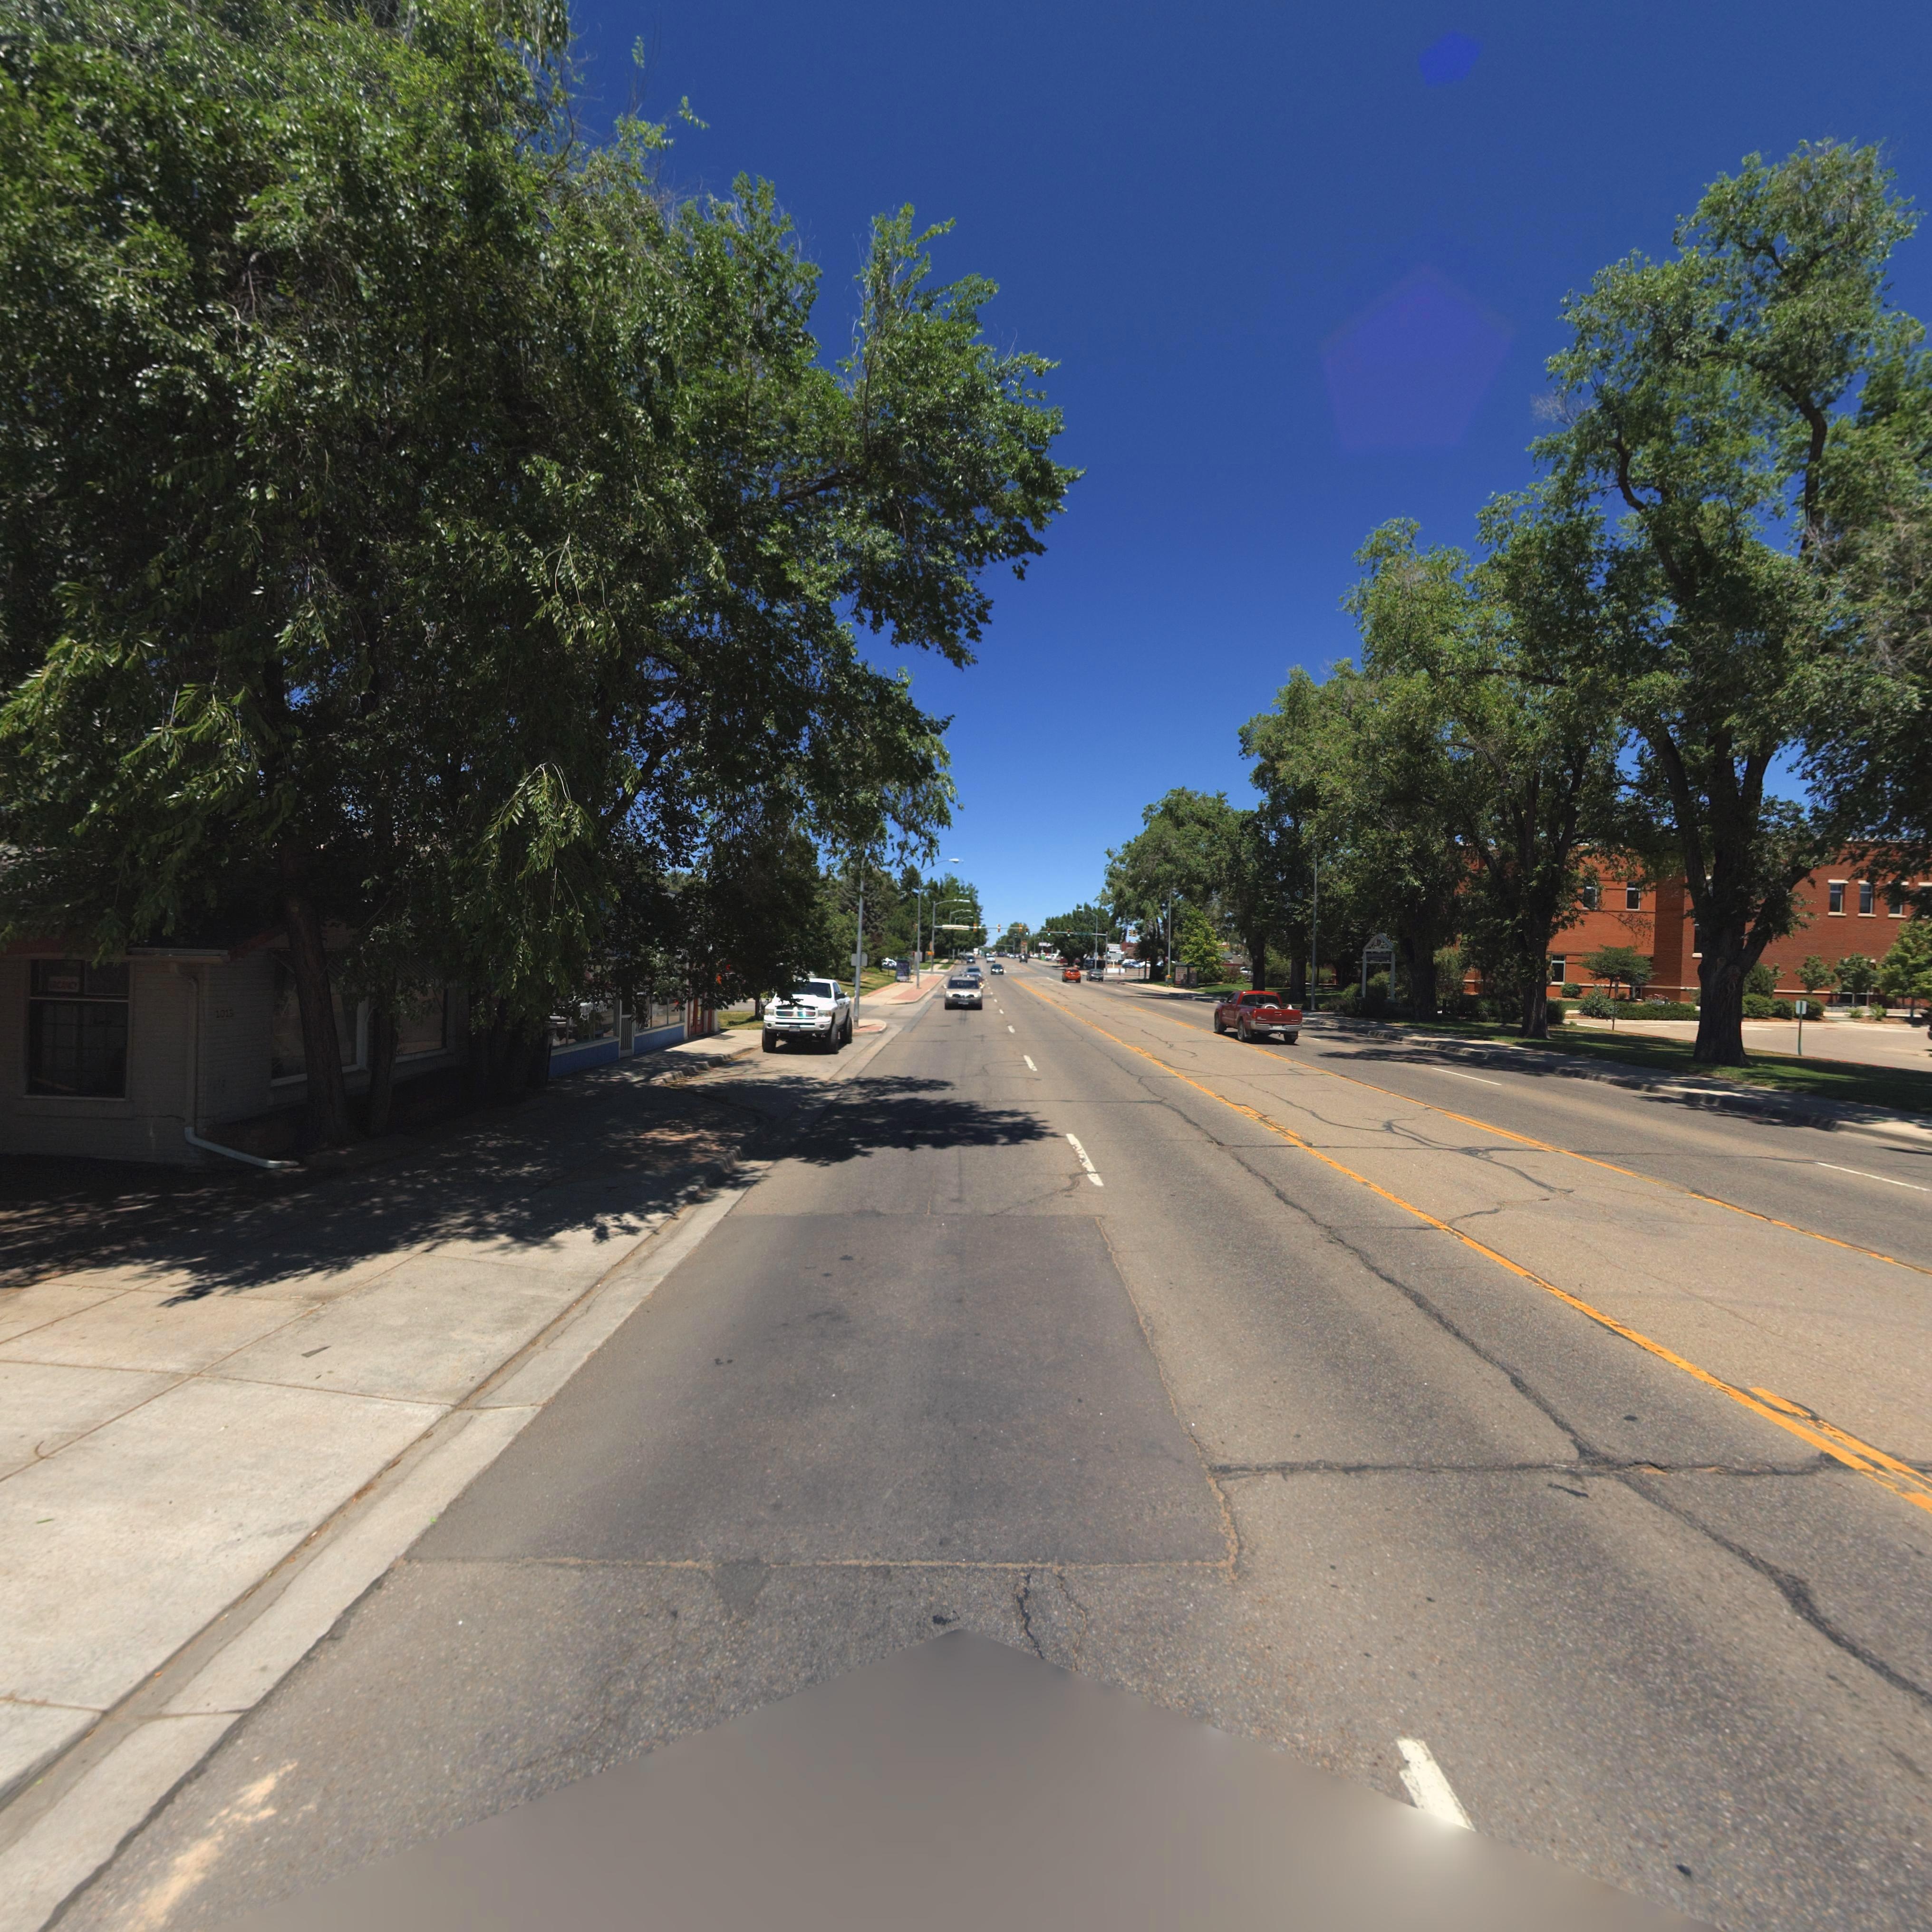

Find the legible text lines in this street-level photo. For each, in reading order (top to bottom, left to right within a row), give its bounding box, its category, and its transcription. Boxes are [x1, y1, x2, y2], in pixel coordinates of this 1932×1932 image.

[215, 1009, 234, 1018] StreetNumber: 1015